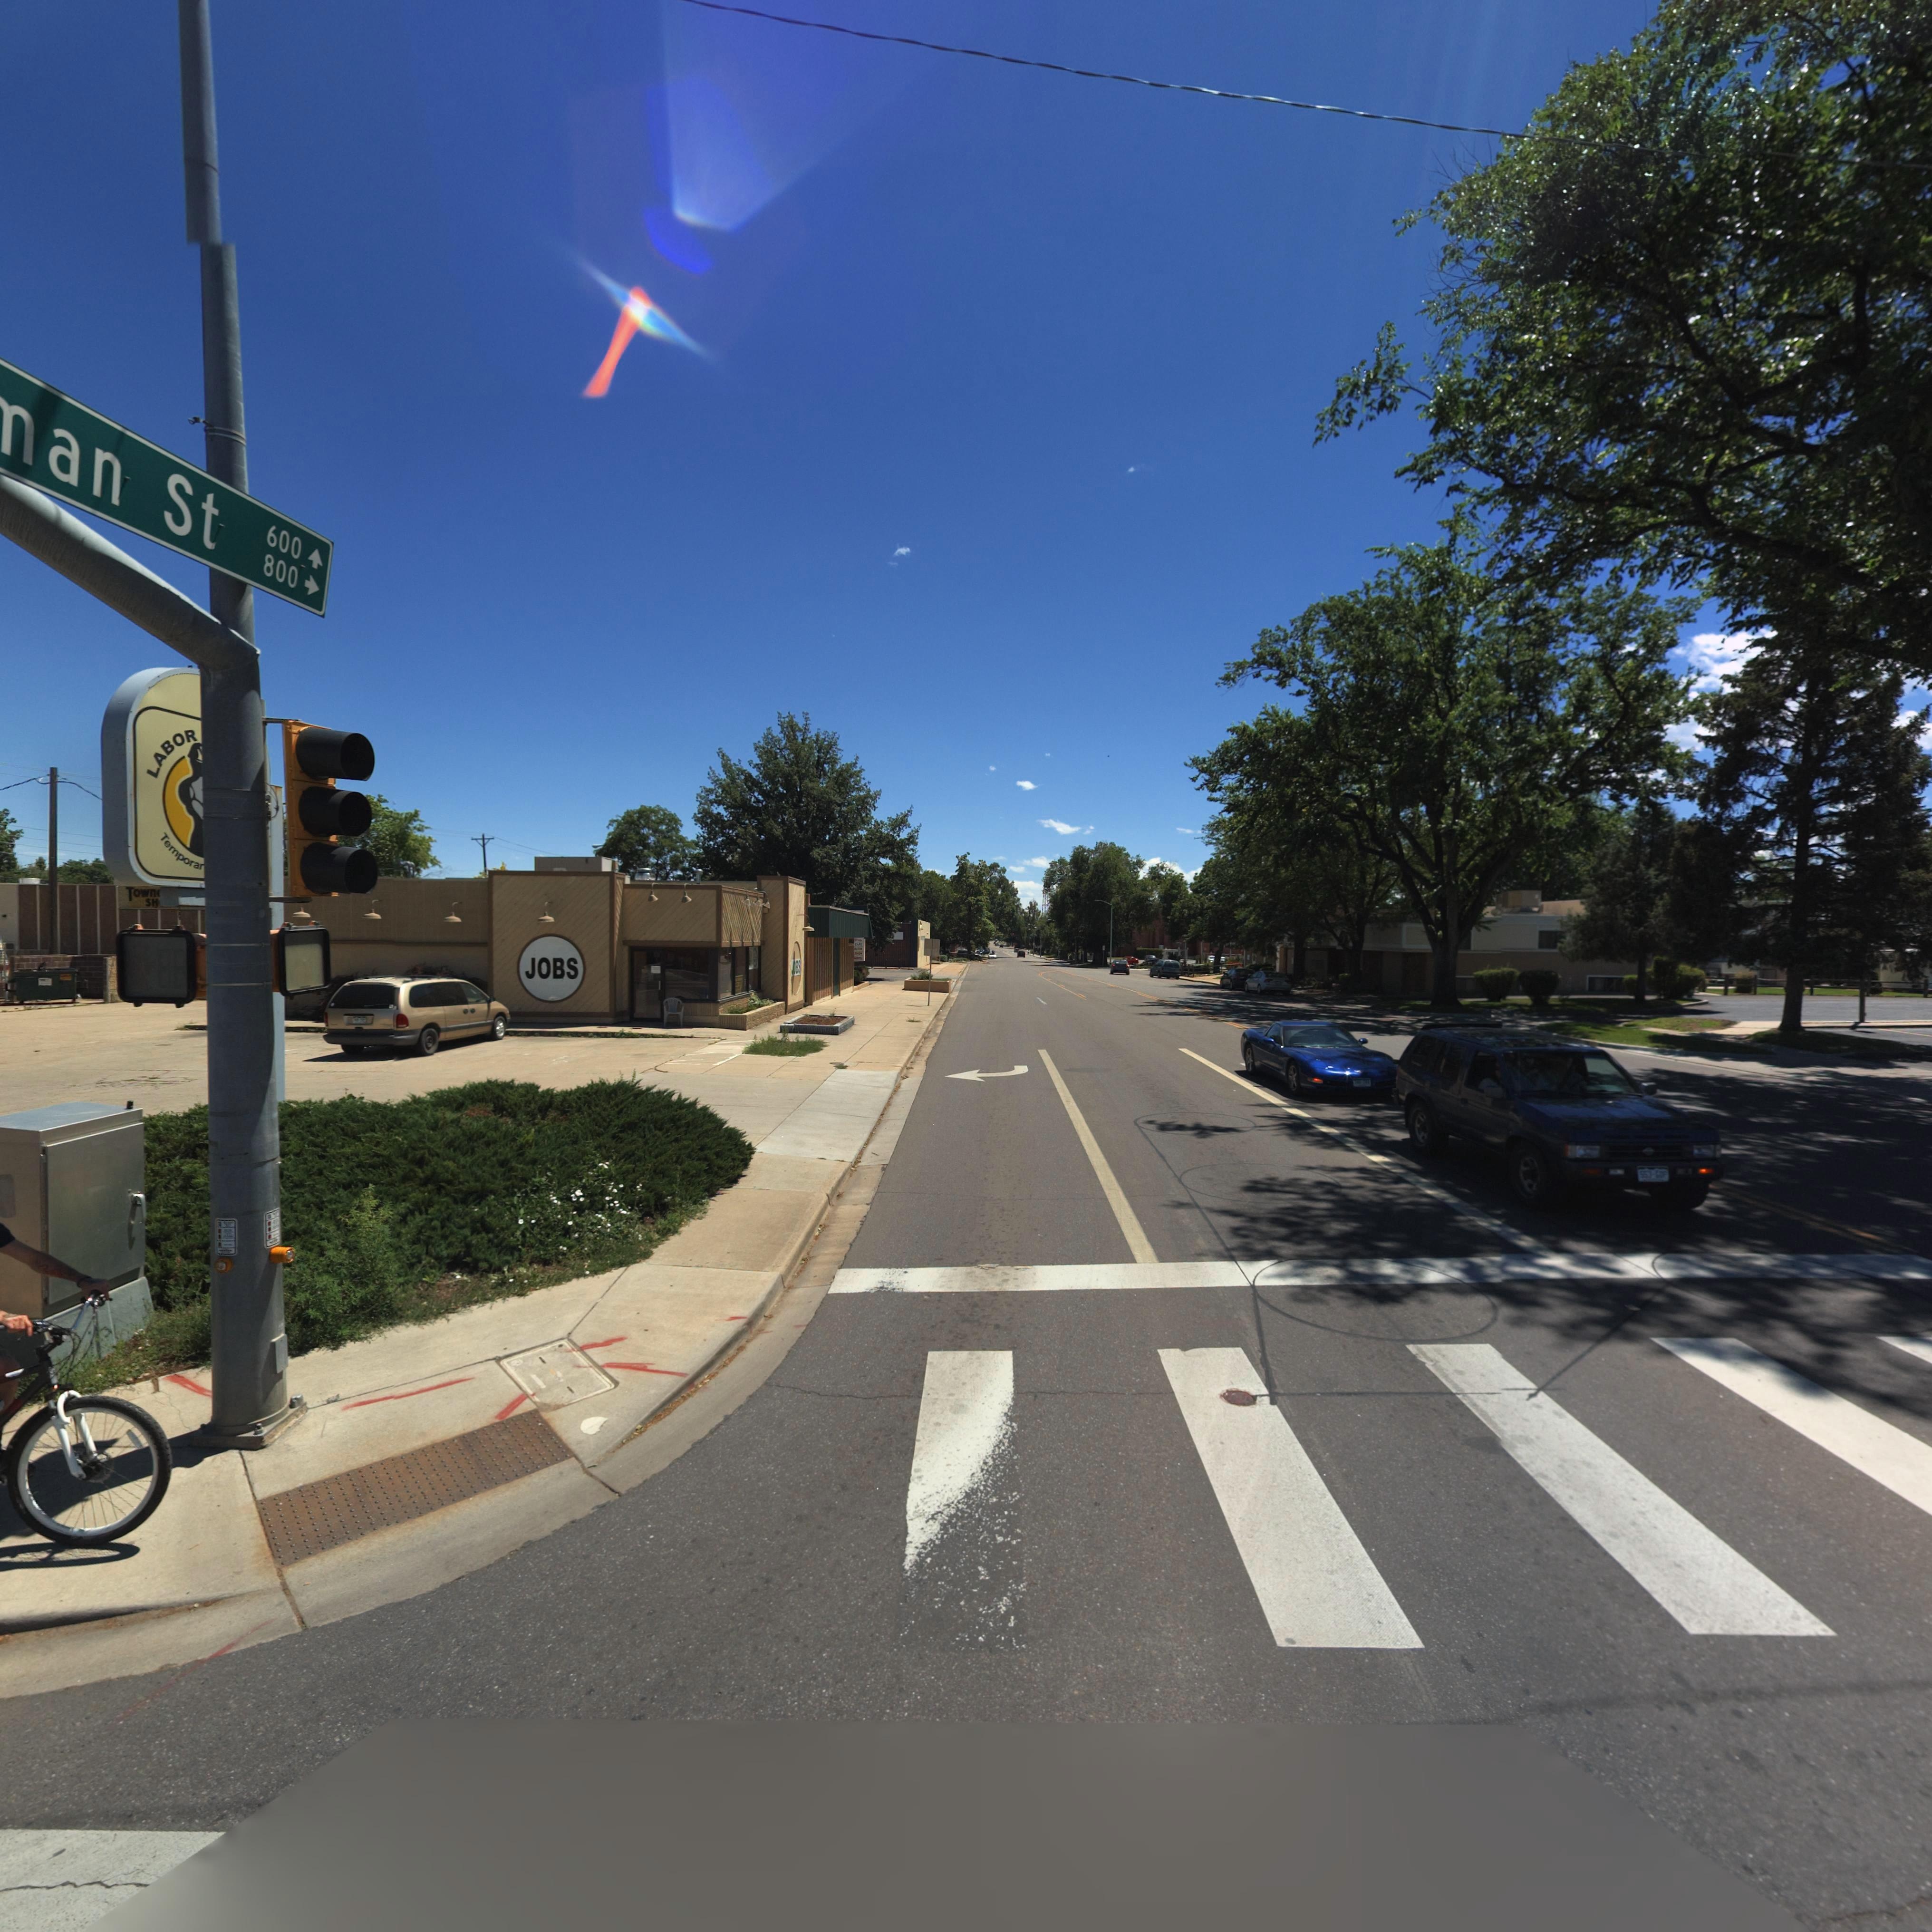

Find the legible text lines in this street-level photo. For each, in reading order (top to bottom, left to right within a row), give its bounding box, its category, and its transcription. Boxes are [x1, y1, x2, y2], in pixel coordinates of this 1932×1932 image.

[45, 427, 220, 553] StreetName: an St
[266, 524, 303, 560] StreetName: 600
[262, 552, 321, 596] StreetNumberRange: 800->
[145, 729, 198, 780] StreetNumber: LABOR
[160, 831, 205, 870] BusinessName: Temporar